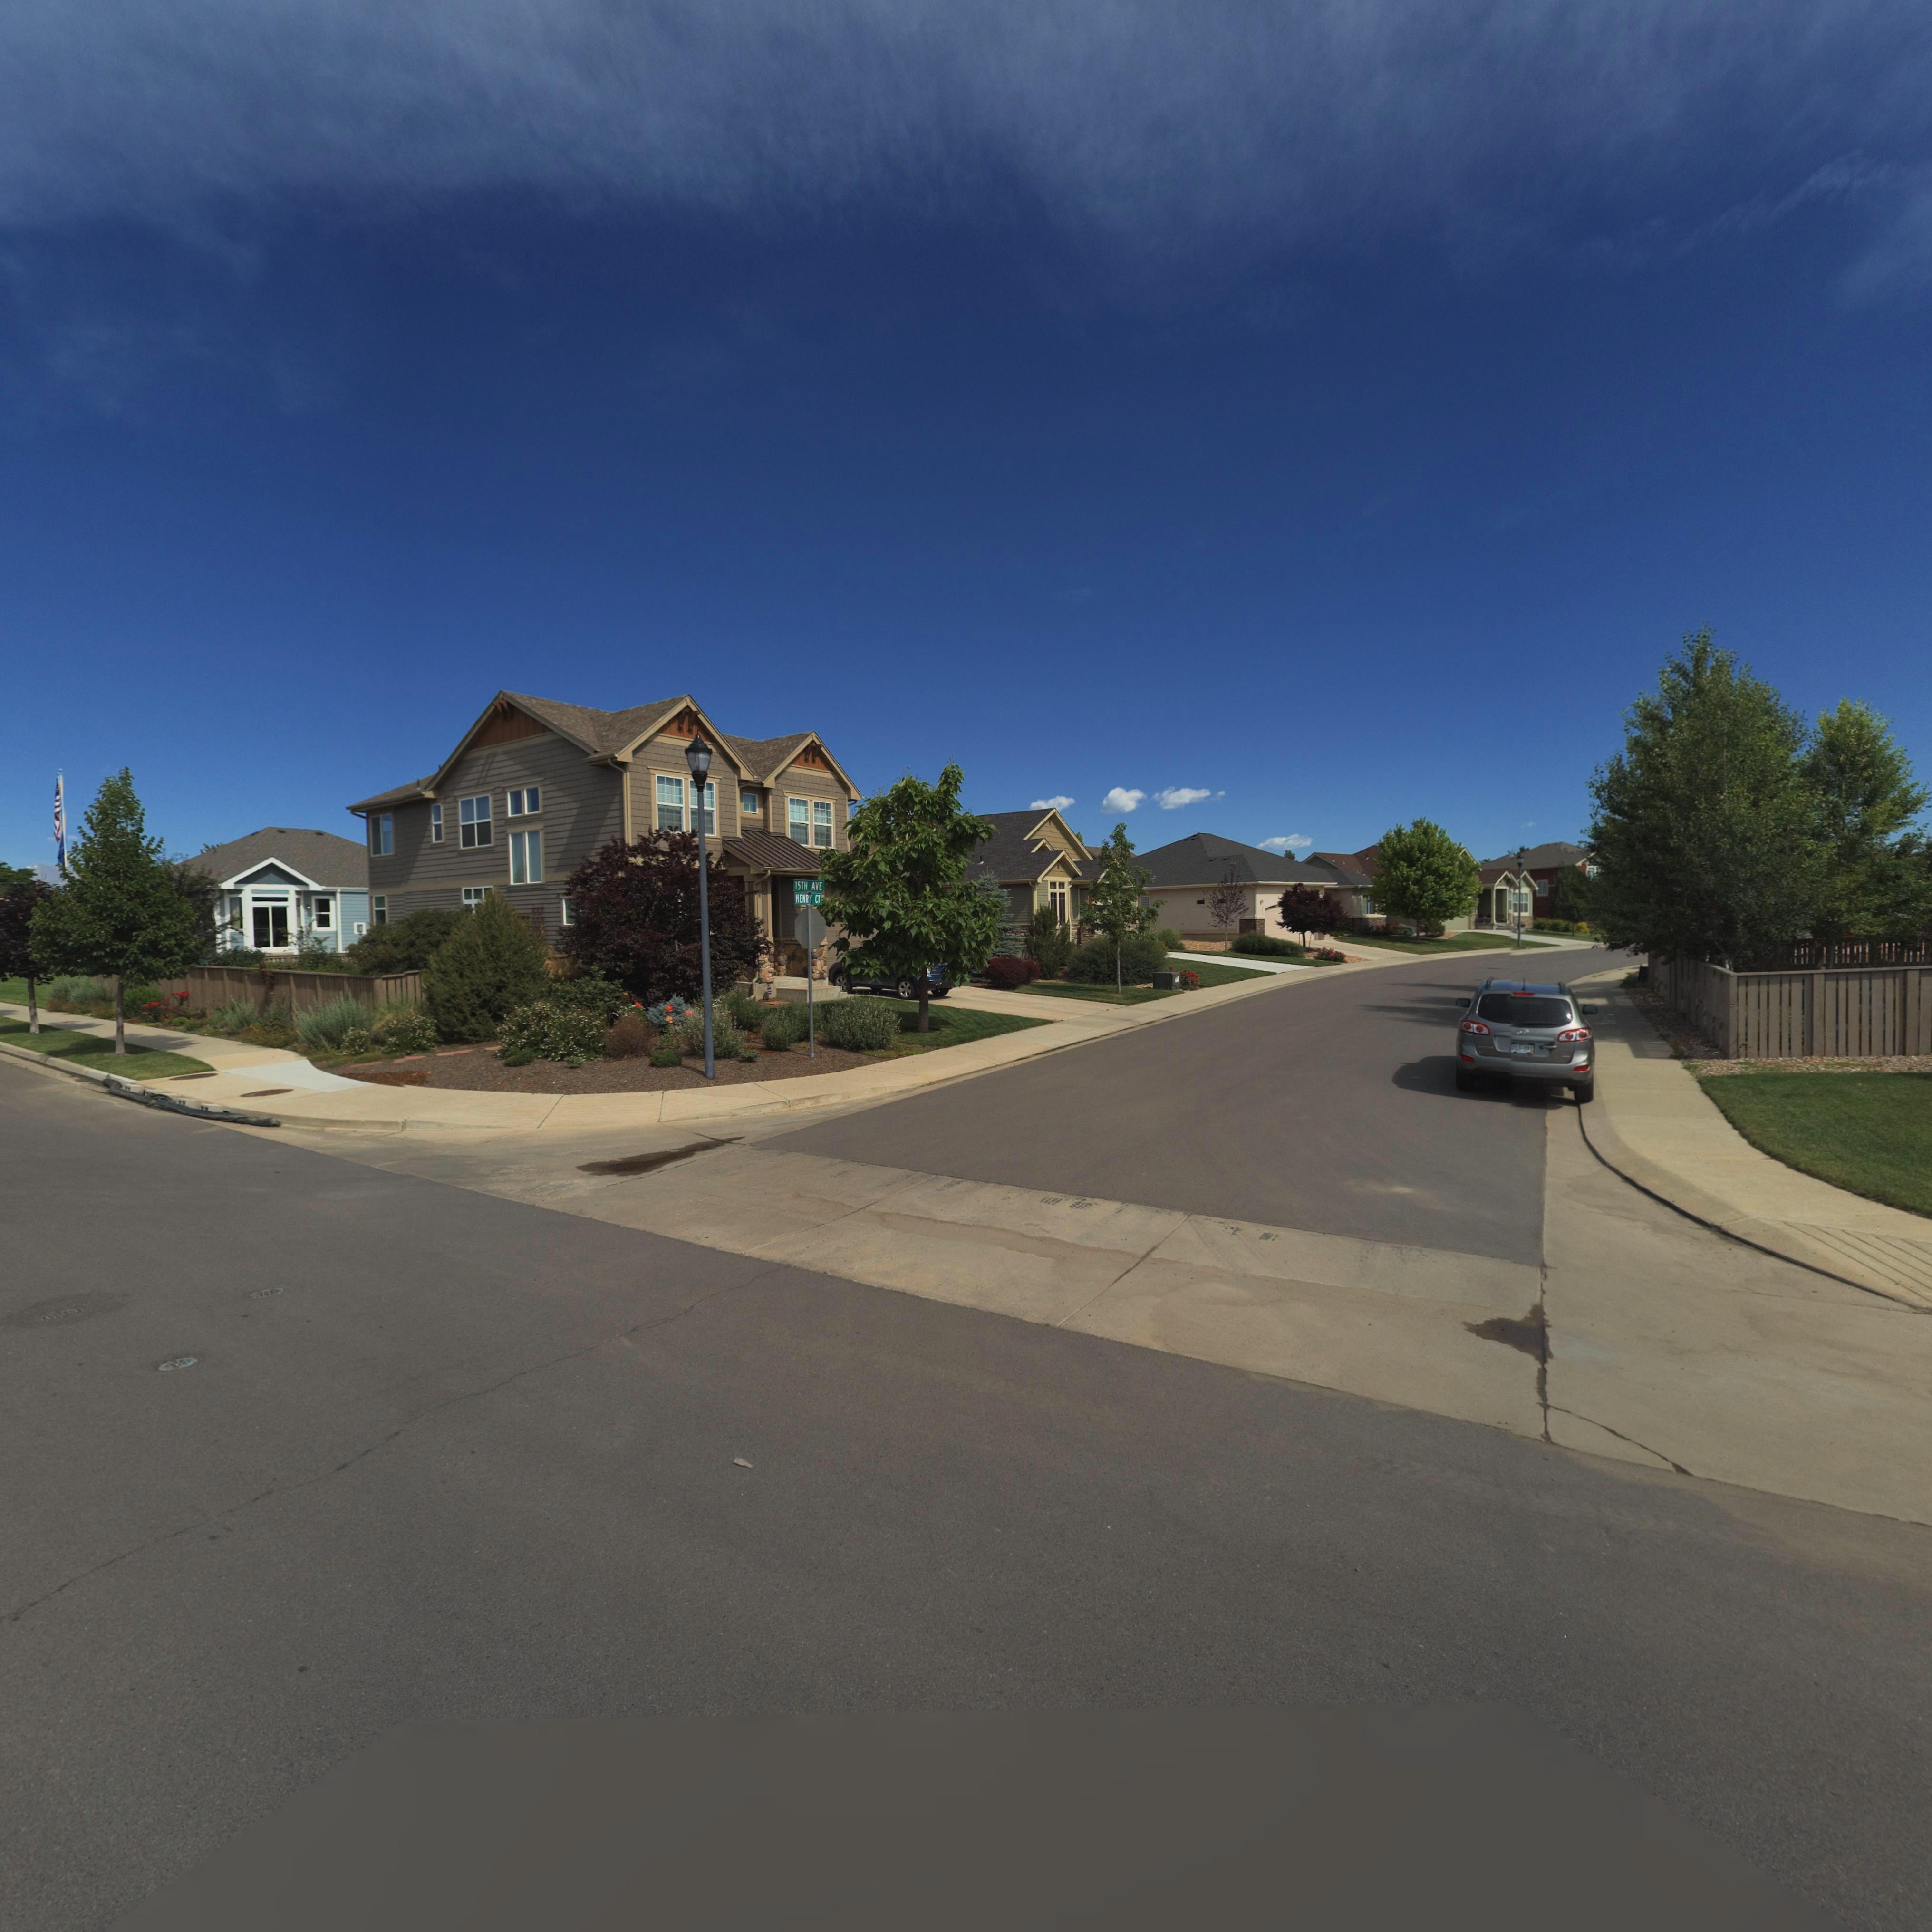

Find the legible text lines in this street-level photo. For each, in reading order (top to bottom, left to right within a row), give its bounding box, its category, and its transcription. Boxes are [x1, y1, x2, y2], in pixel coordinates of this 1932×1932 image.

[794, 880, 822, 890] StreetName: 15TH AVE
[794, 893, 821, 904] StreetName: HENRY CT